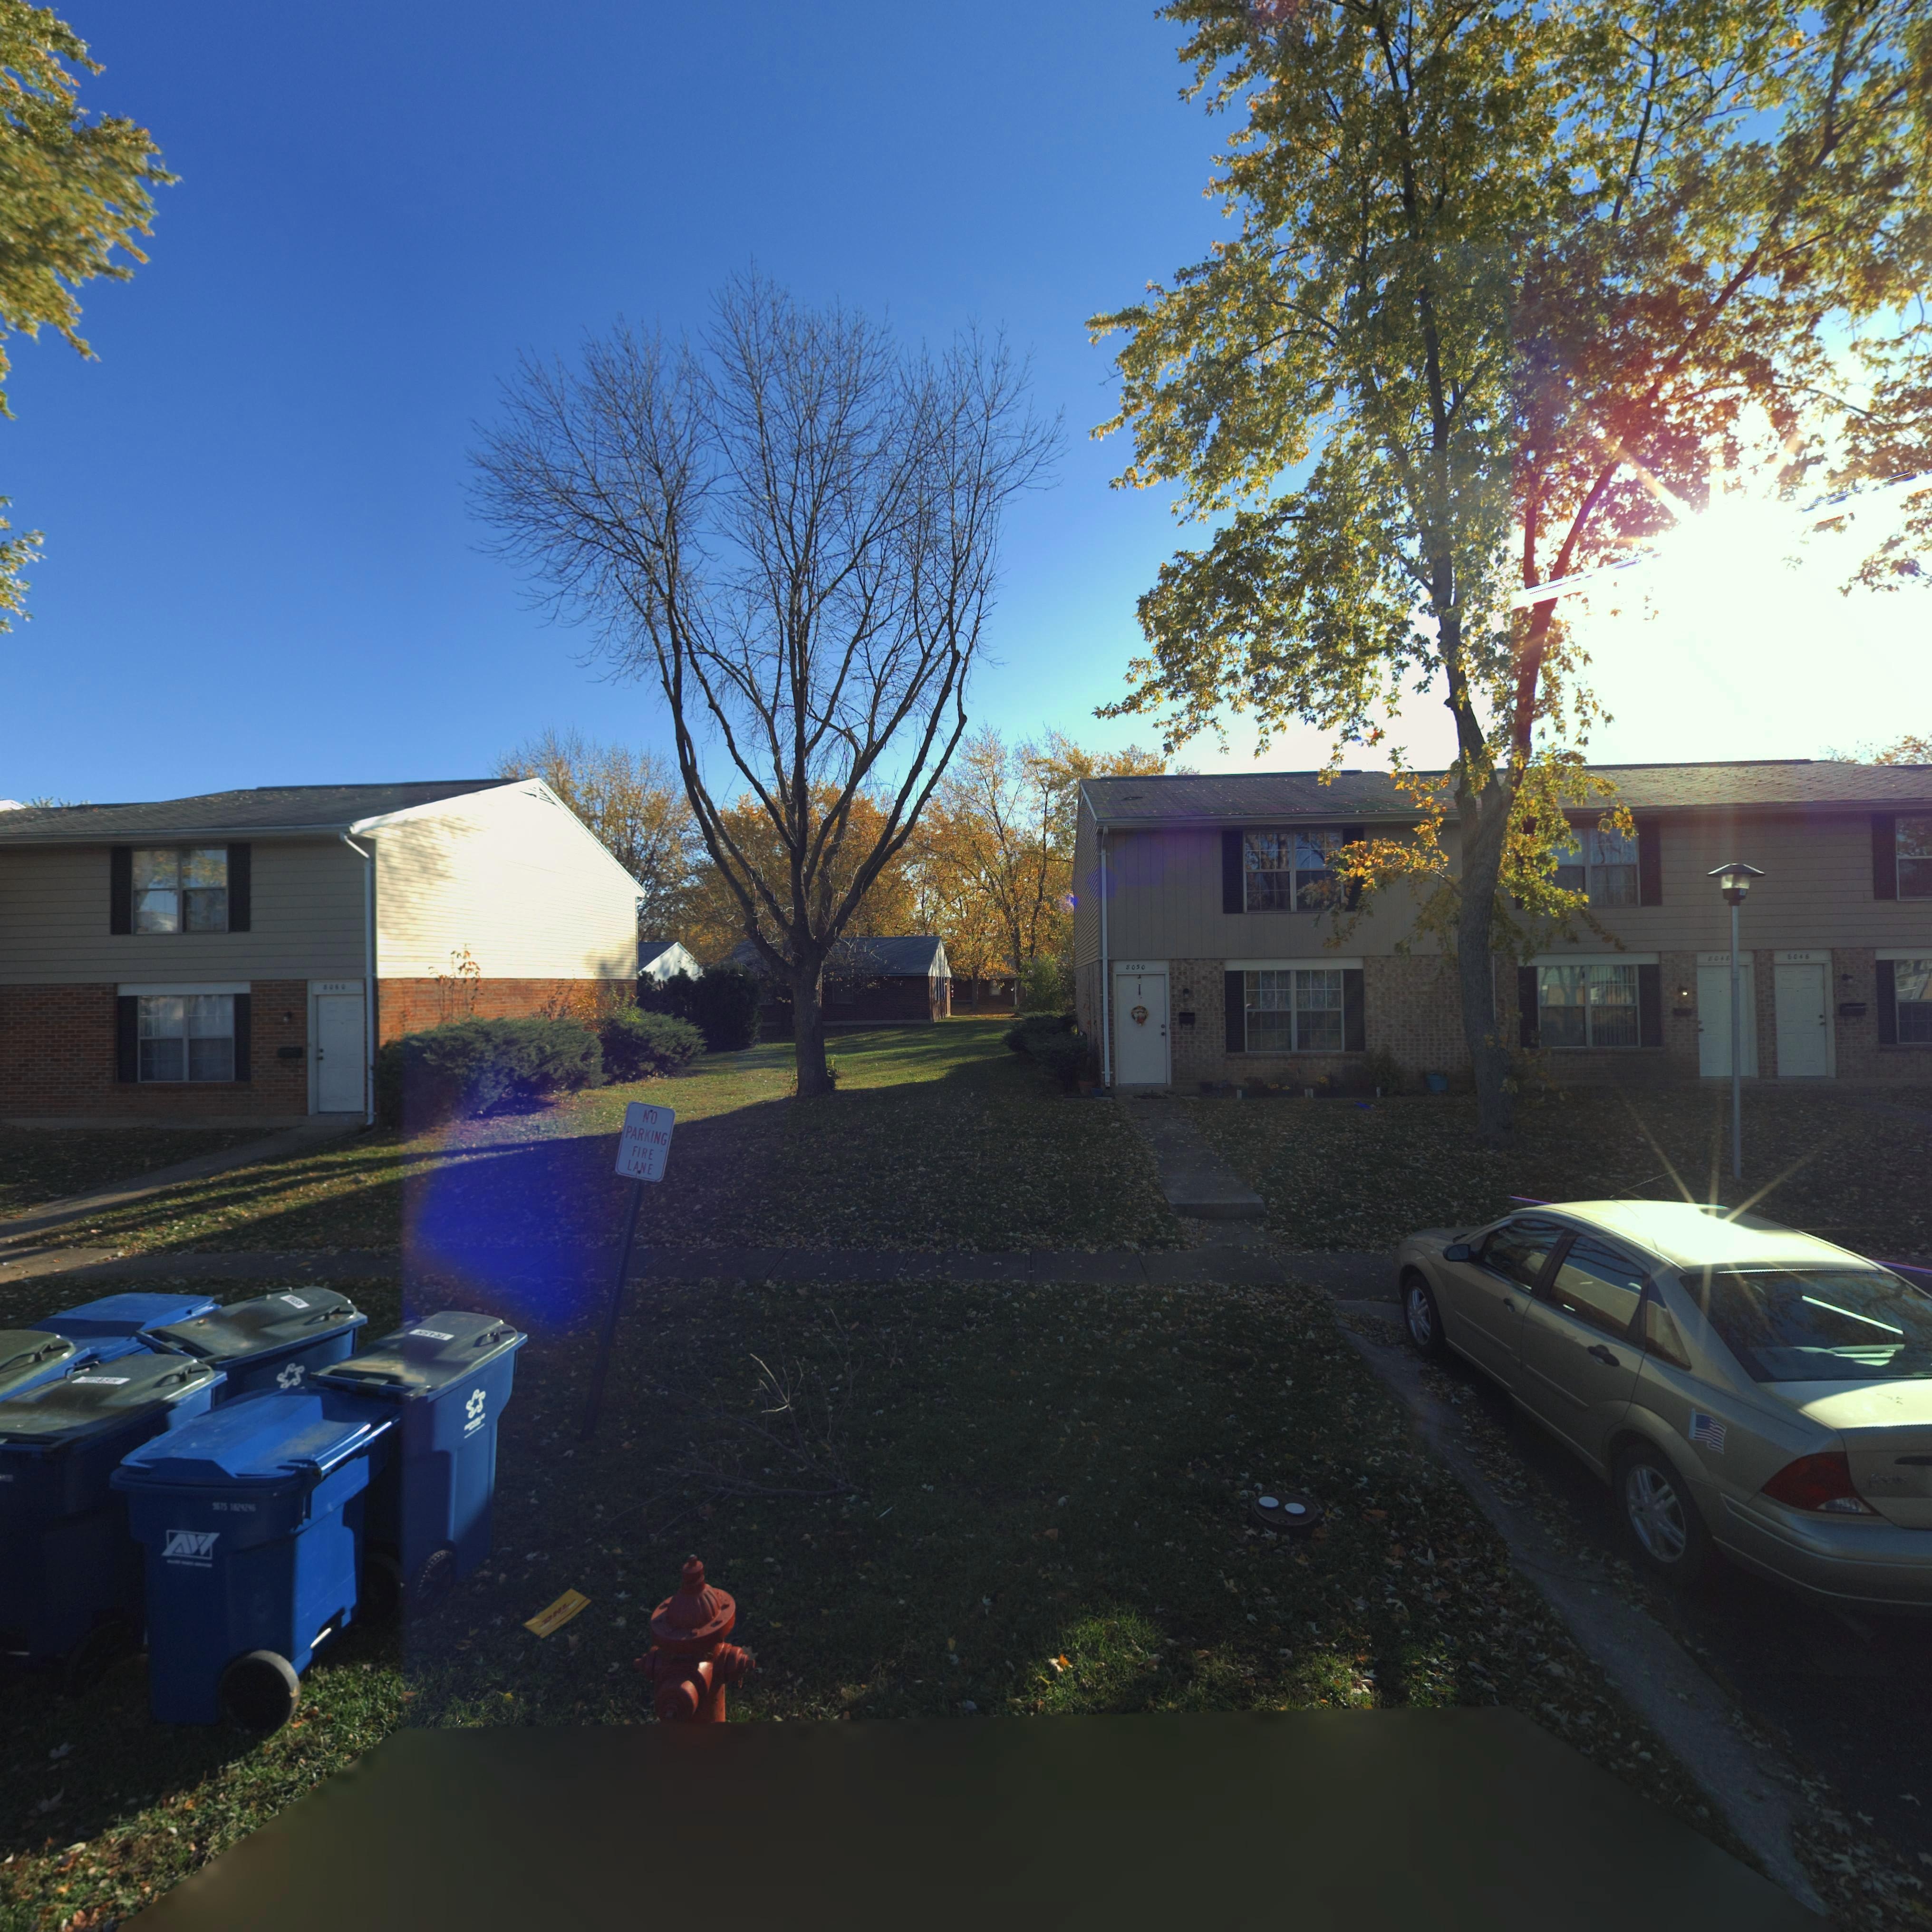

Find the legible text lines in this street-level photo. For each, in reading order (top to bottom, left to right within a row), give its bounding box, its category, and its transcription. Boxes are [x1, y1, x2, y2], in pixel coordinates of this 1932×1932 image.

[1125, 963, 1147, 971] StreetNumber: 8050
[1706, 954, 1732, 964] StreetNumber: 80**
[1785, 952, 1811, 962] StreetNumber: *0*6
[321, 981, 348, 992] StreetNumber: *0*0
[641, 1107, 660, 1127] None: NO
[622, 1122, 669, 1149] None: PARKING
[628, 1142, 657, 1162] None: FIRE
[625, 1157, 656, 1178] None: LANE